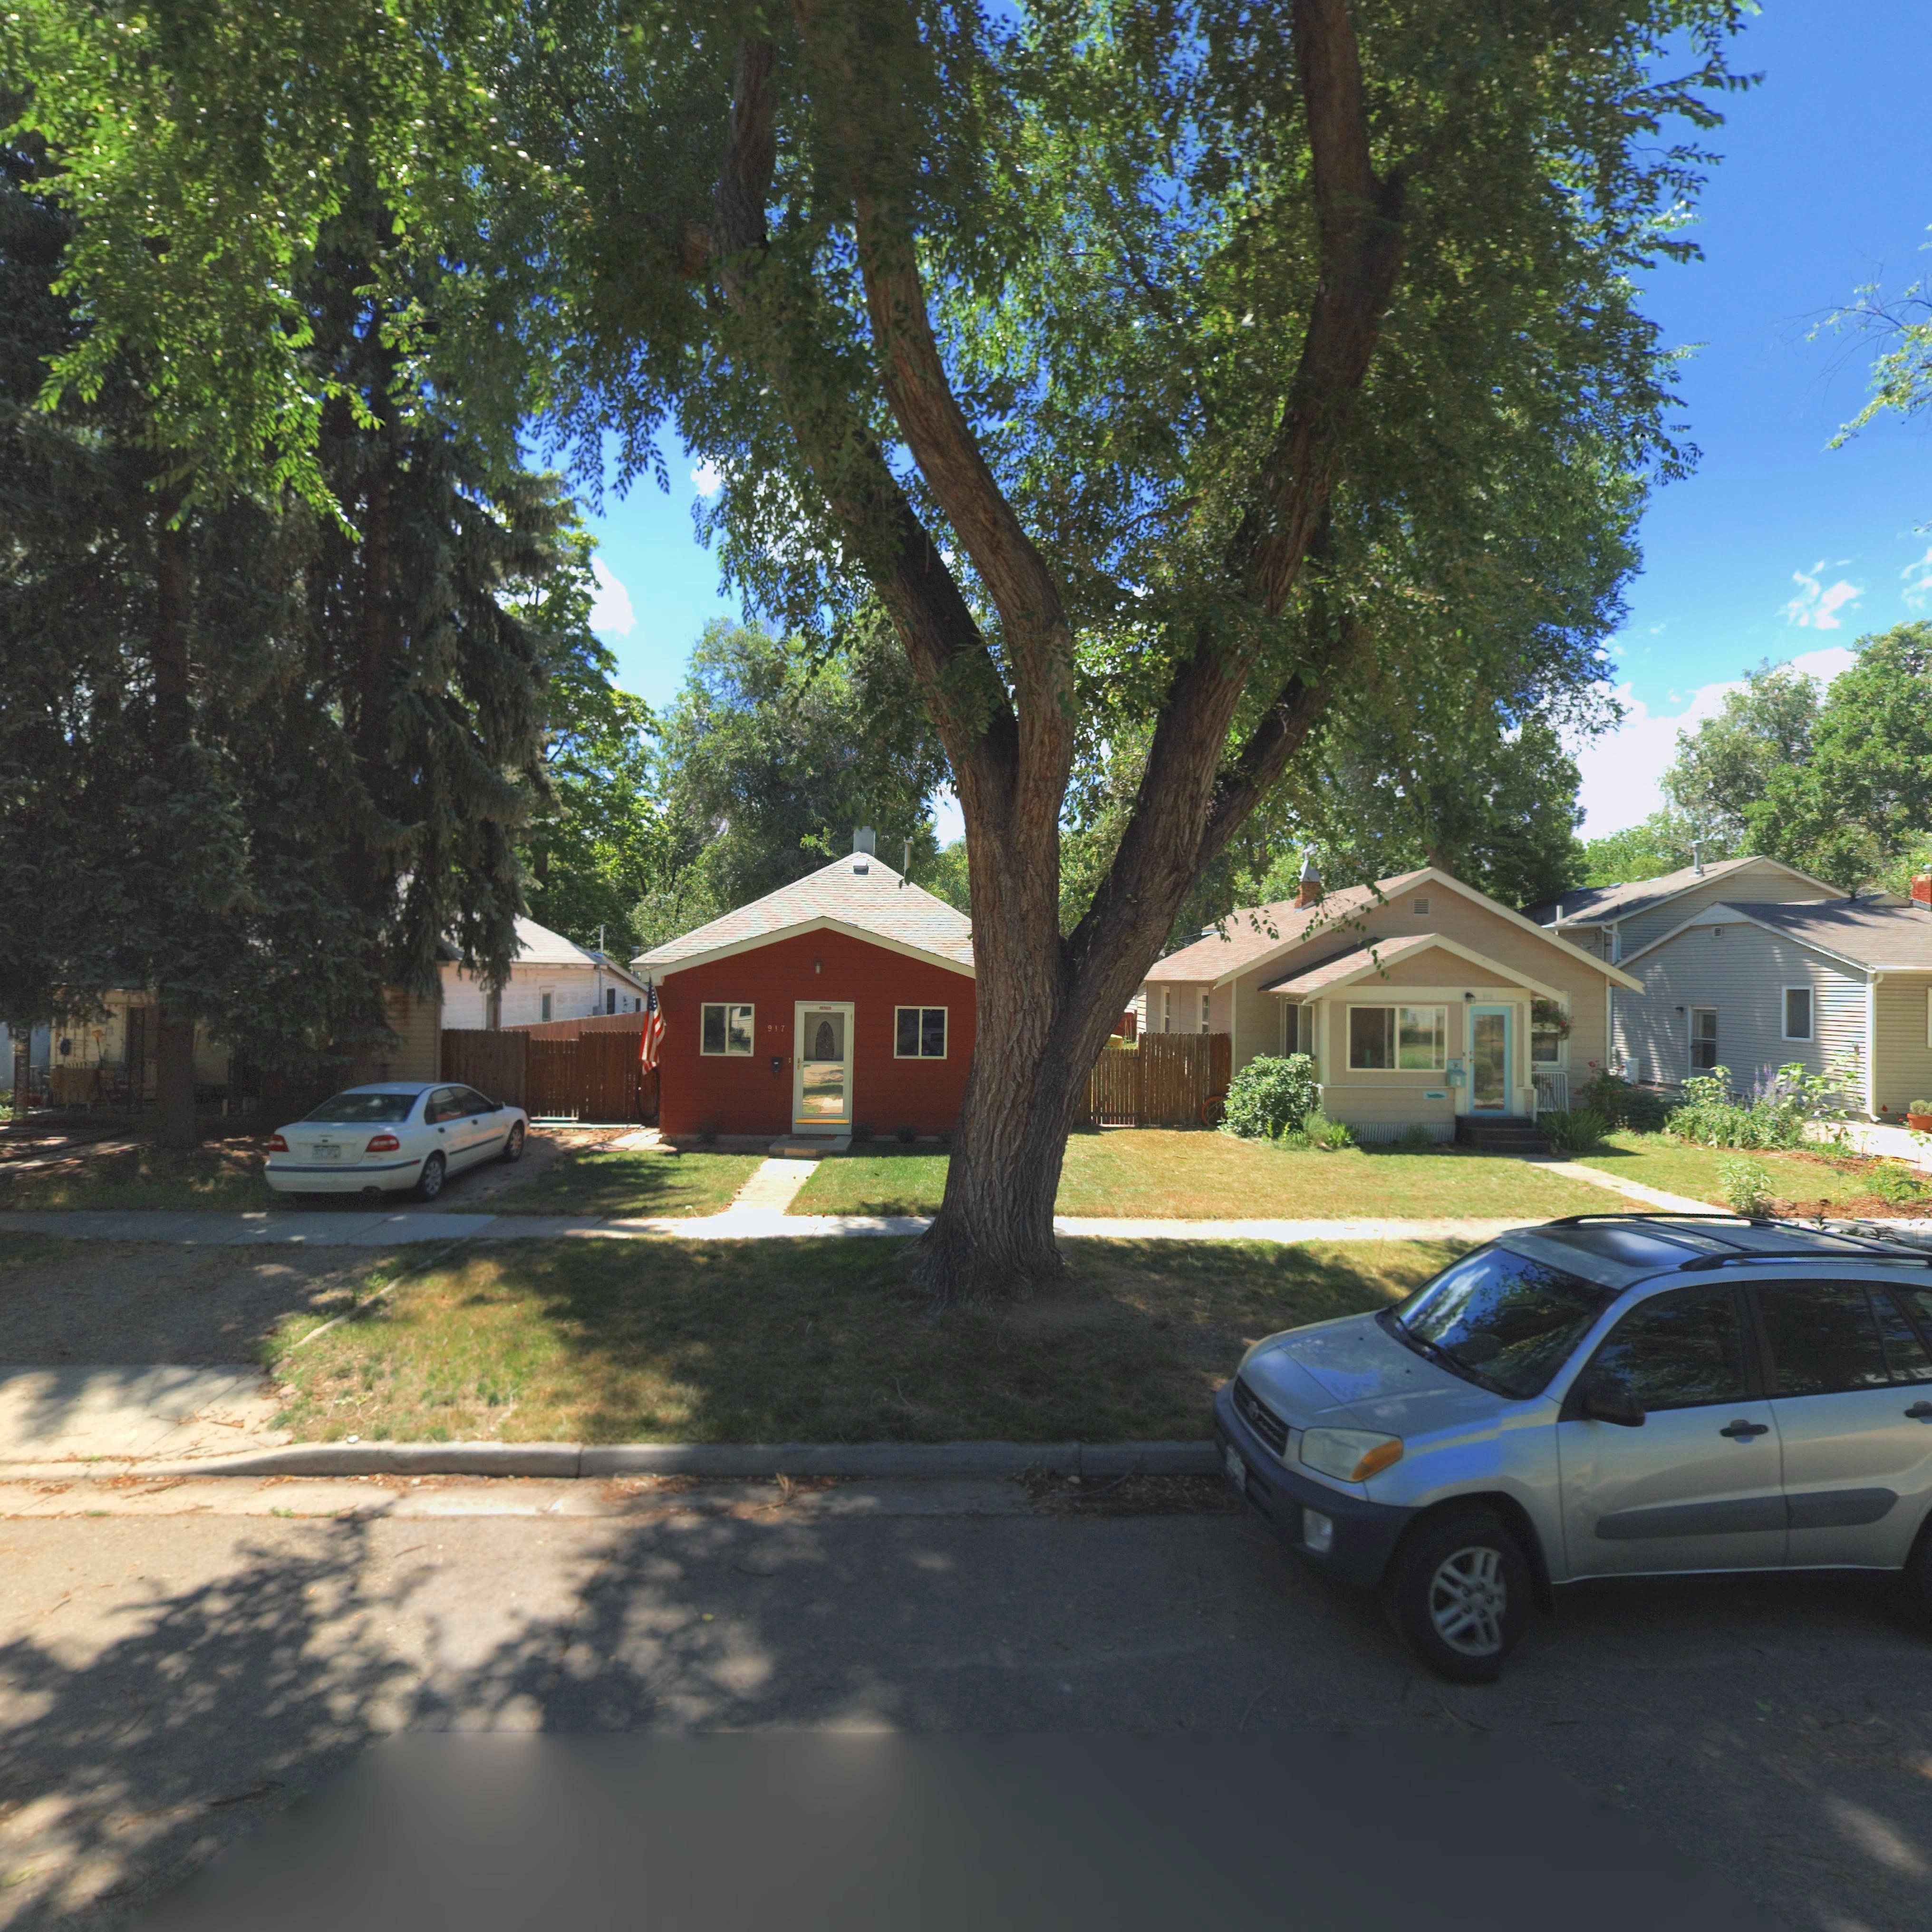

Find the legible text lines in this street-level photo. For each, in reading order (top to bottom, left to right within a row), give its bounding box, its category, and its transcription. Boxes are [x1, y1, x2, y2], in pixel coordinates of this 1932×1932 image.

[767, 1025, 785, 1032] StreetNumber: 917